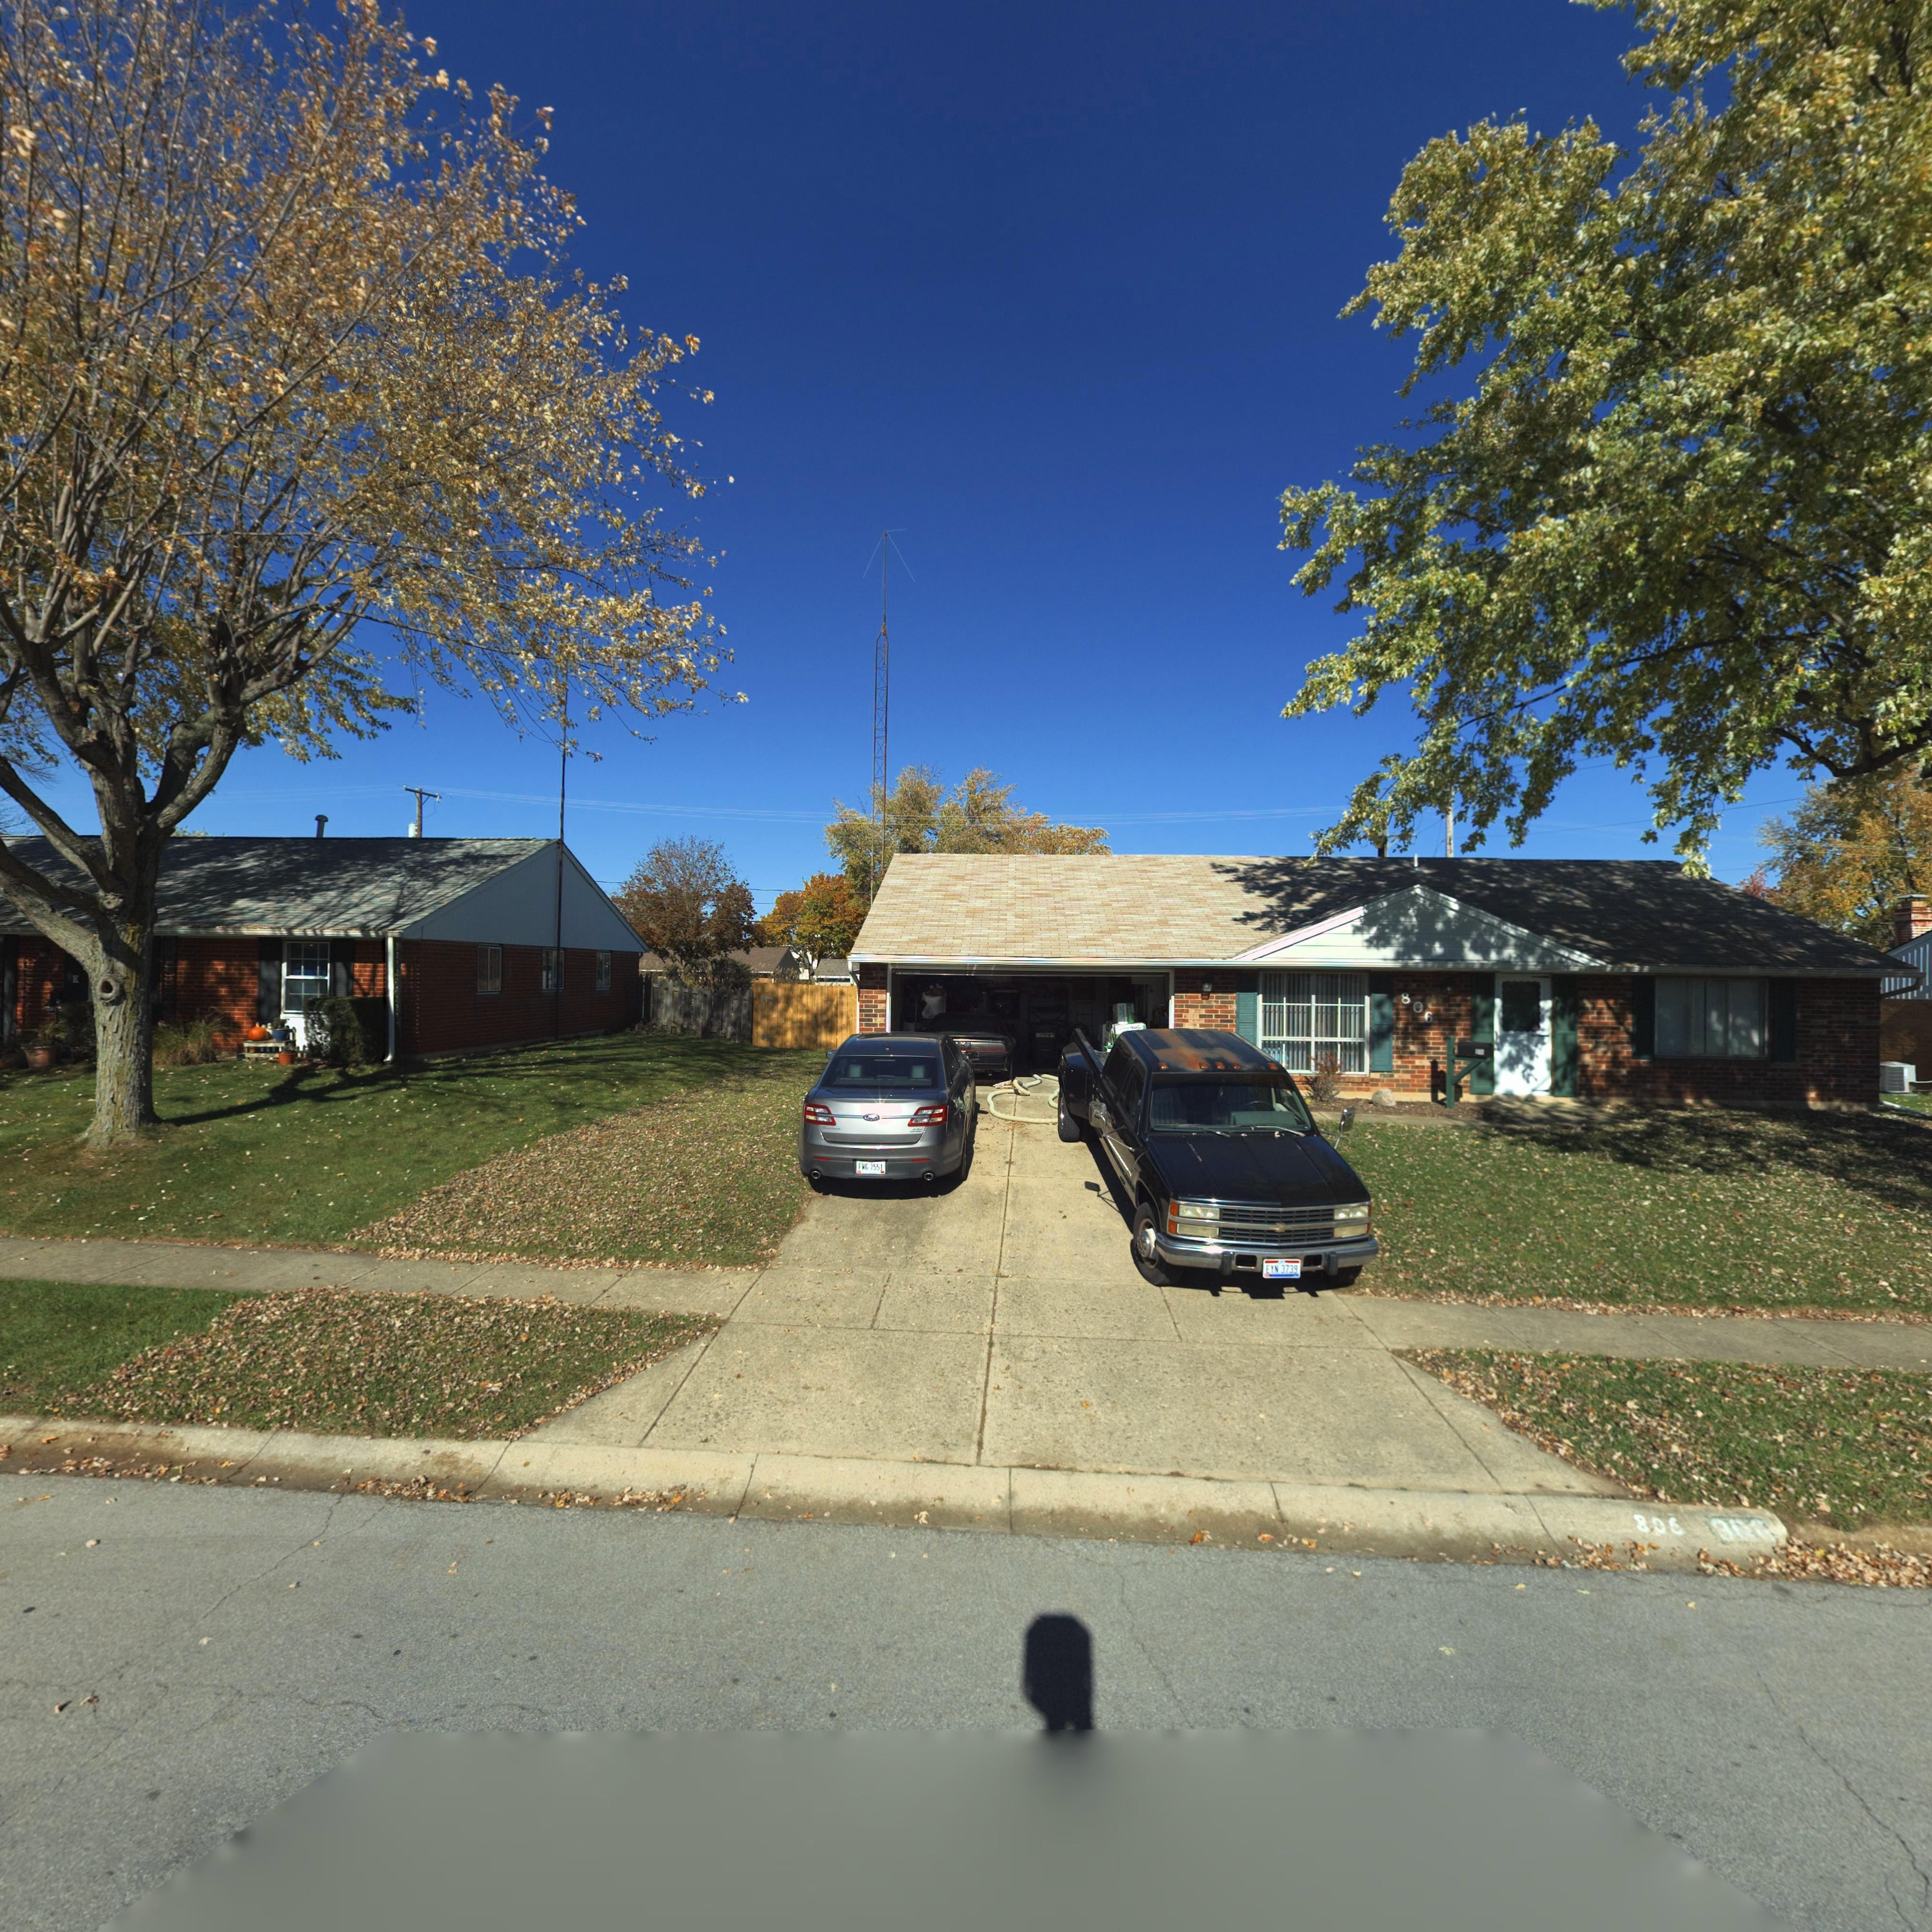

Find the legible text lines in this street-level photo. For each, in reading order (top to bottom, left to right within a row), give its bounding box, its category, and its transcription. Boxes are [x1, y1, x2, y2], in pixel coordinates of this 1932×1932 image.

[1401, 991, 1433, 1024] StreetNumber: 806
[1633, 1513, 1686, 1536] StreetNumber: 806
[1709, 1517, 1777, 1545] StreetNumber: *06